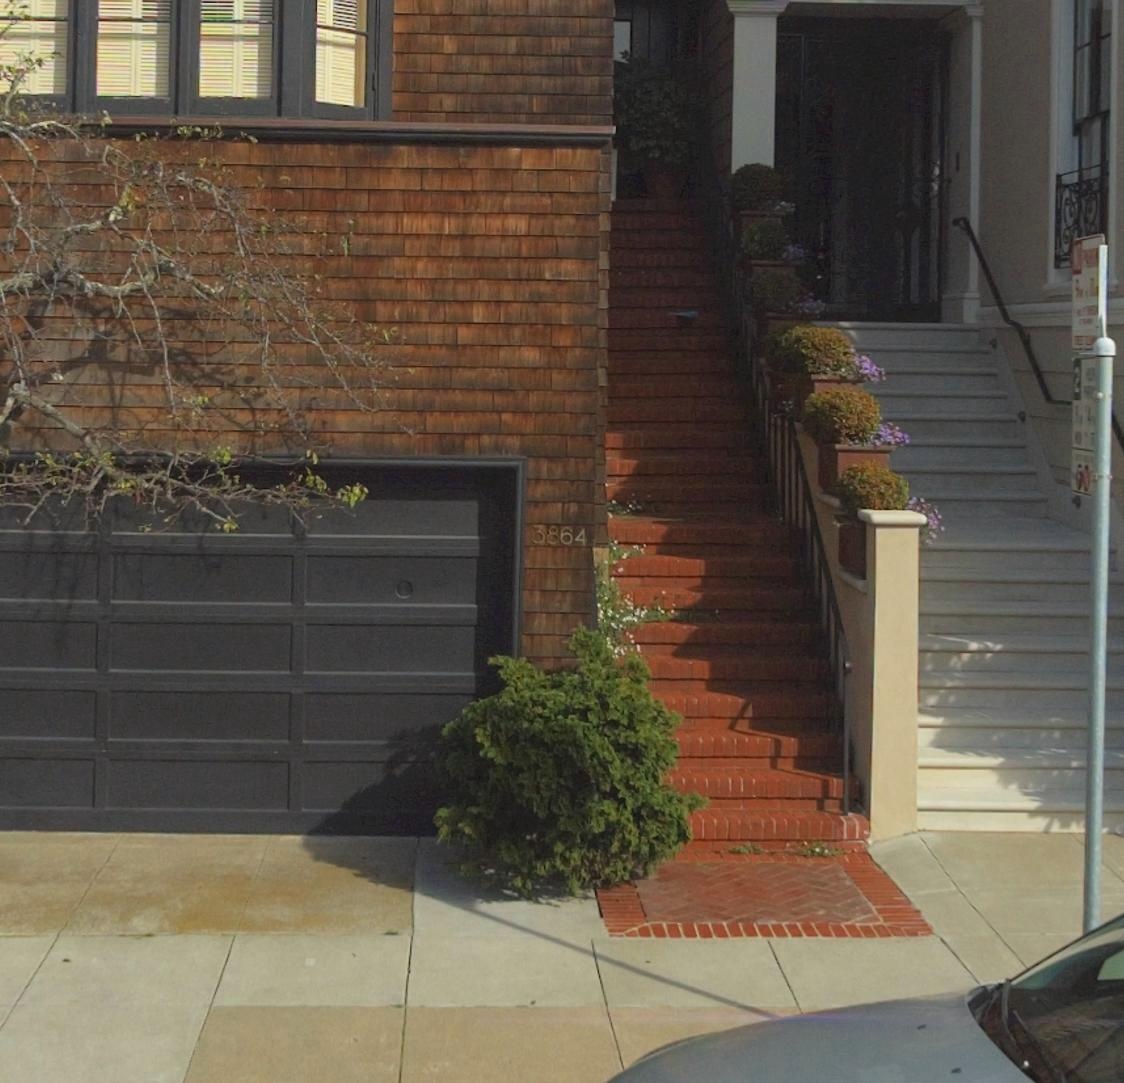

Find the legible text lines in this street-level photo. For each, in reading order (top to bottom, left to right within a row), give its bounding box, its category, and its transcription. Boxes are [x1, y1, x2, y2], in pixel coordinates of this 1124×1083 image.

[1070, 365, 1083, 395] None: 2
[529, 522, 590, 548] StreetNumber: 3864